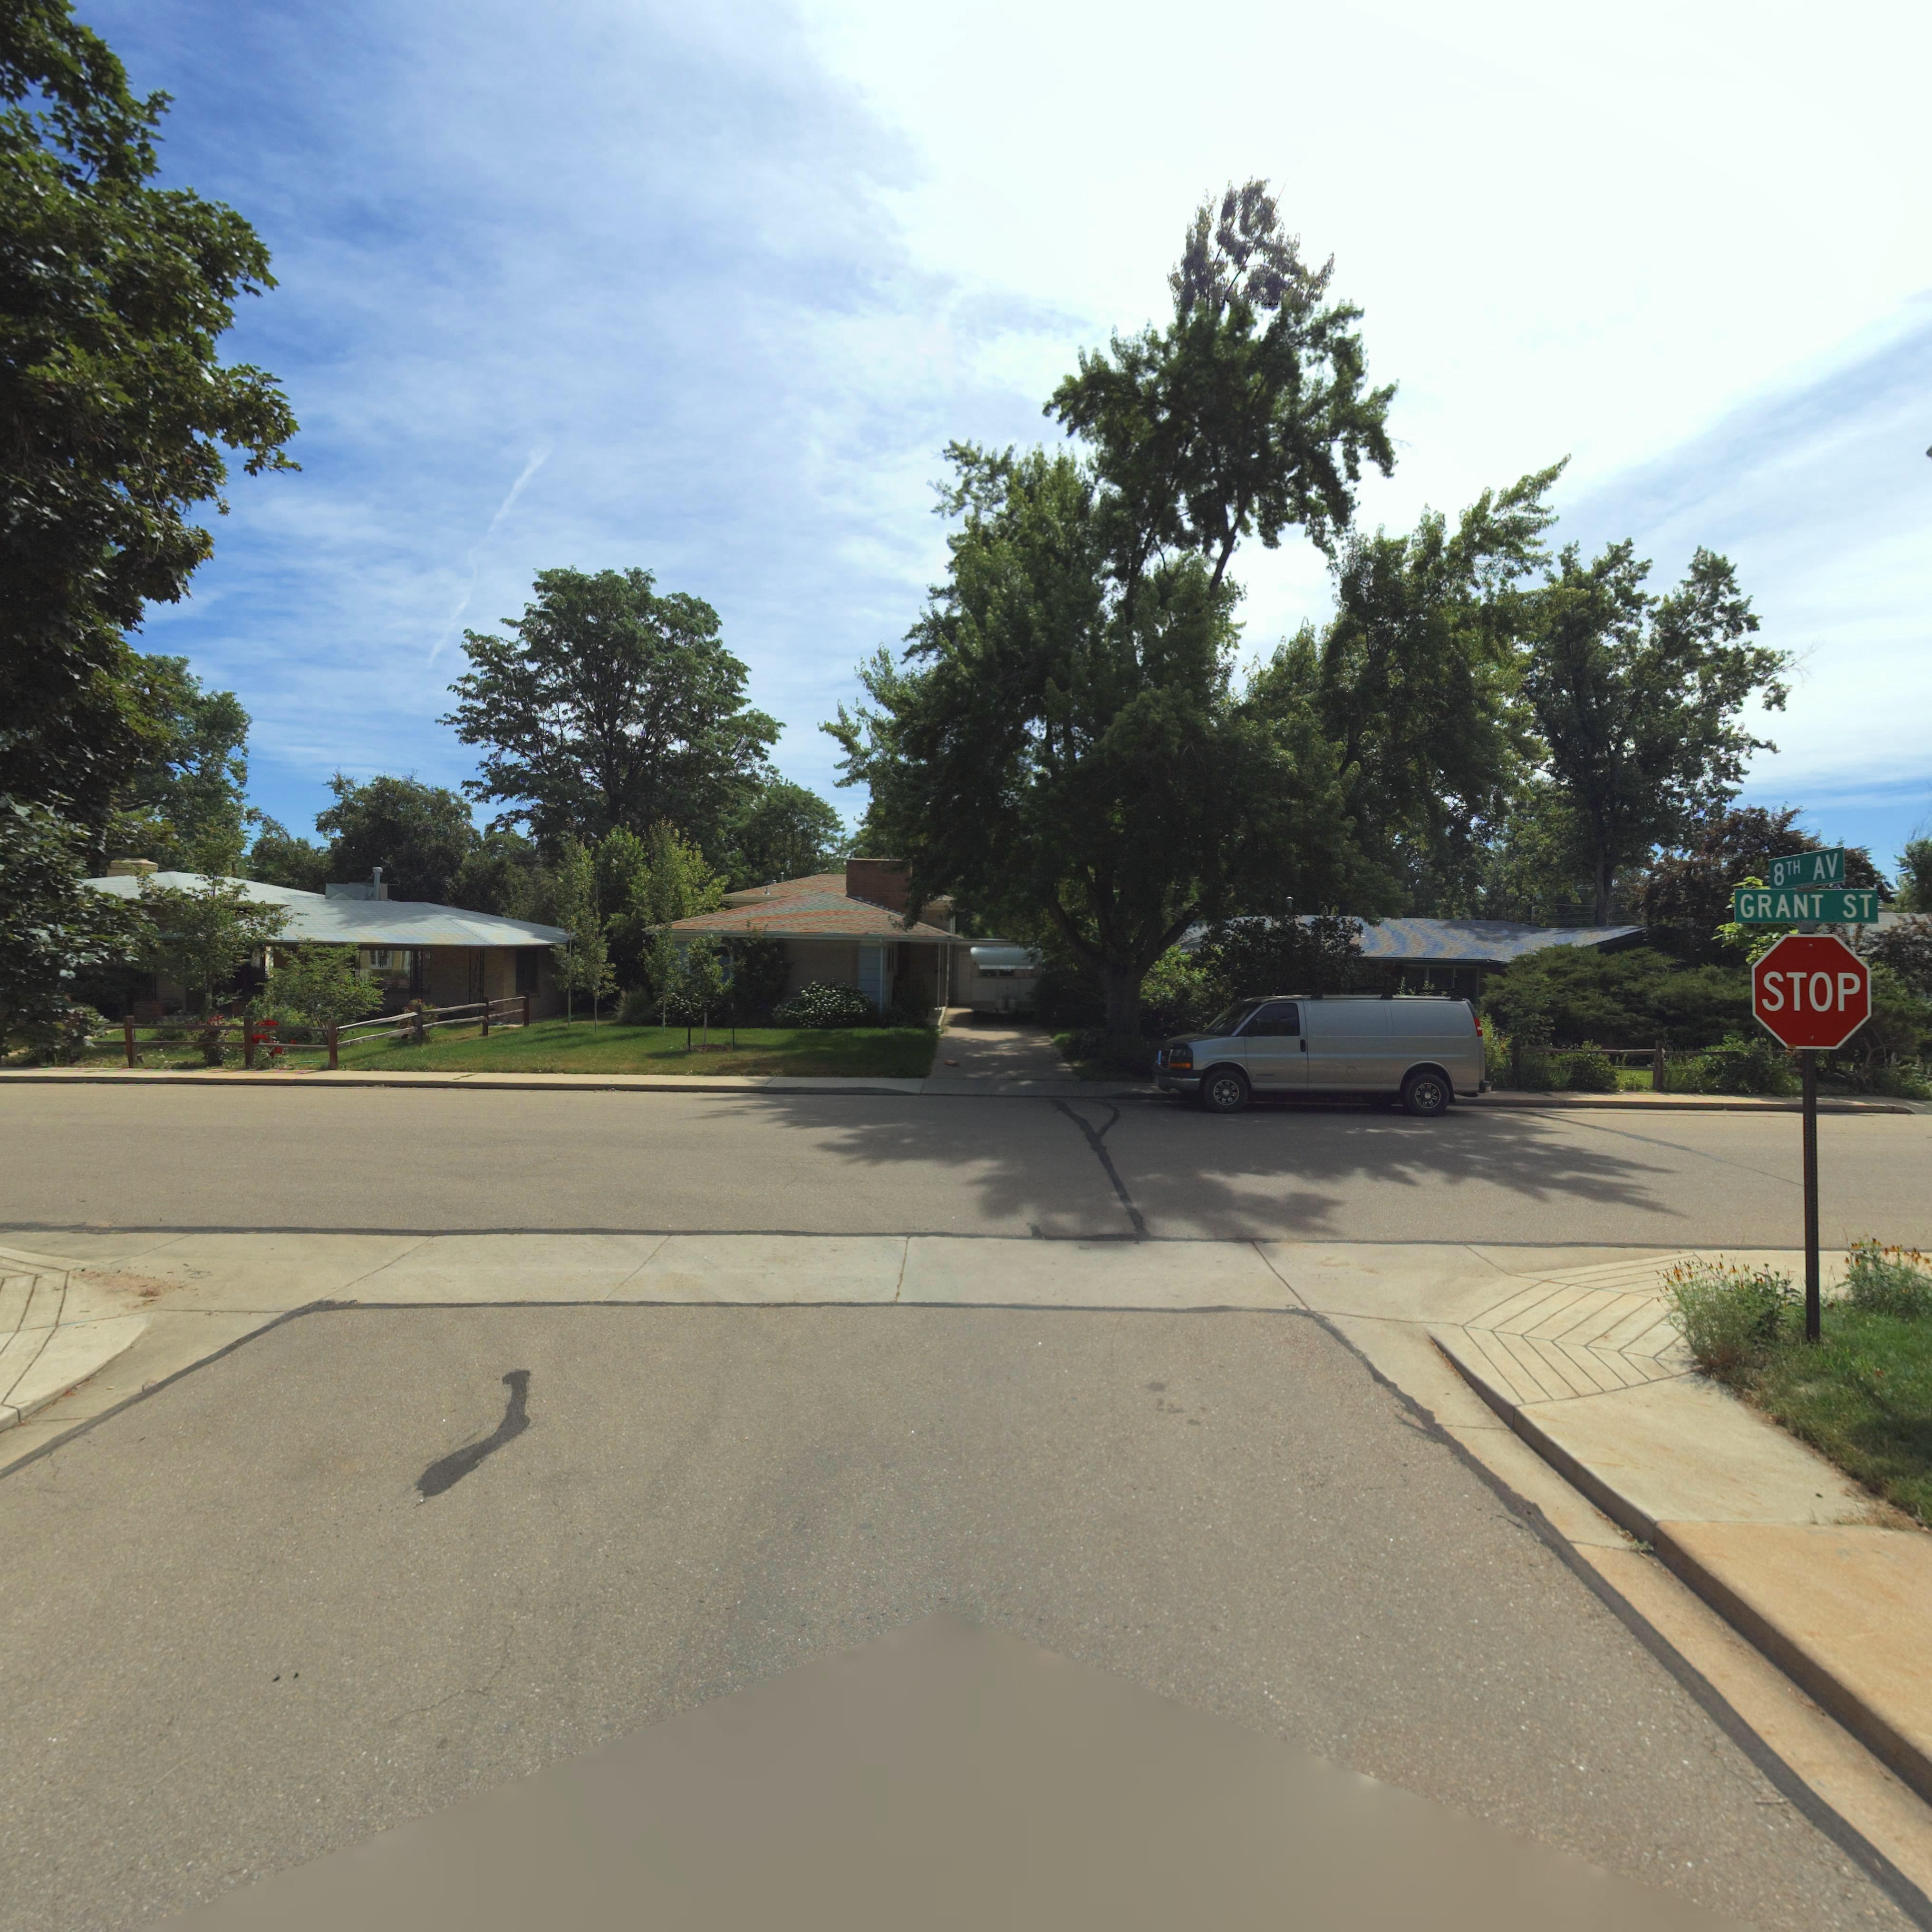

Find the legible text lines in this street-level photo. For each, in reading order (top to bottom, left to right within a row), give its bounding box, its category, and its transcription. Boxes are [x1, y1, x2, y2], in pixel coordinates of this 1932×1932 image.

[1773, 852, 1838, 886] StreetName: 8TH AV
[1739, 894, 1872, 918] StreetName: GRANT ST